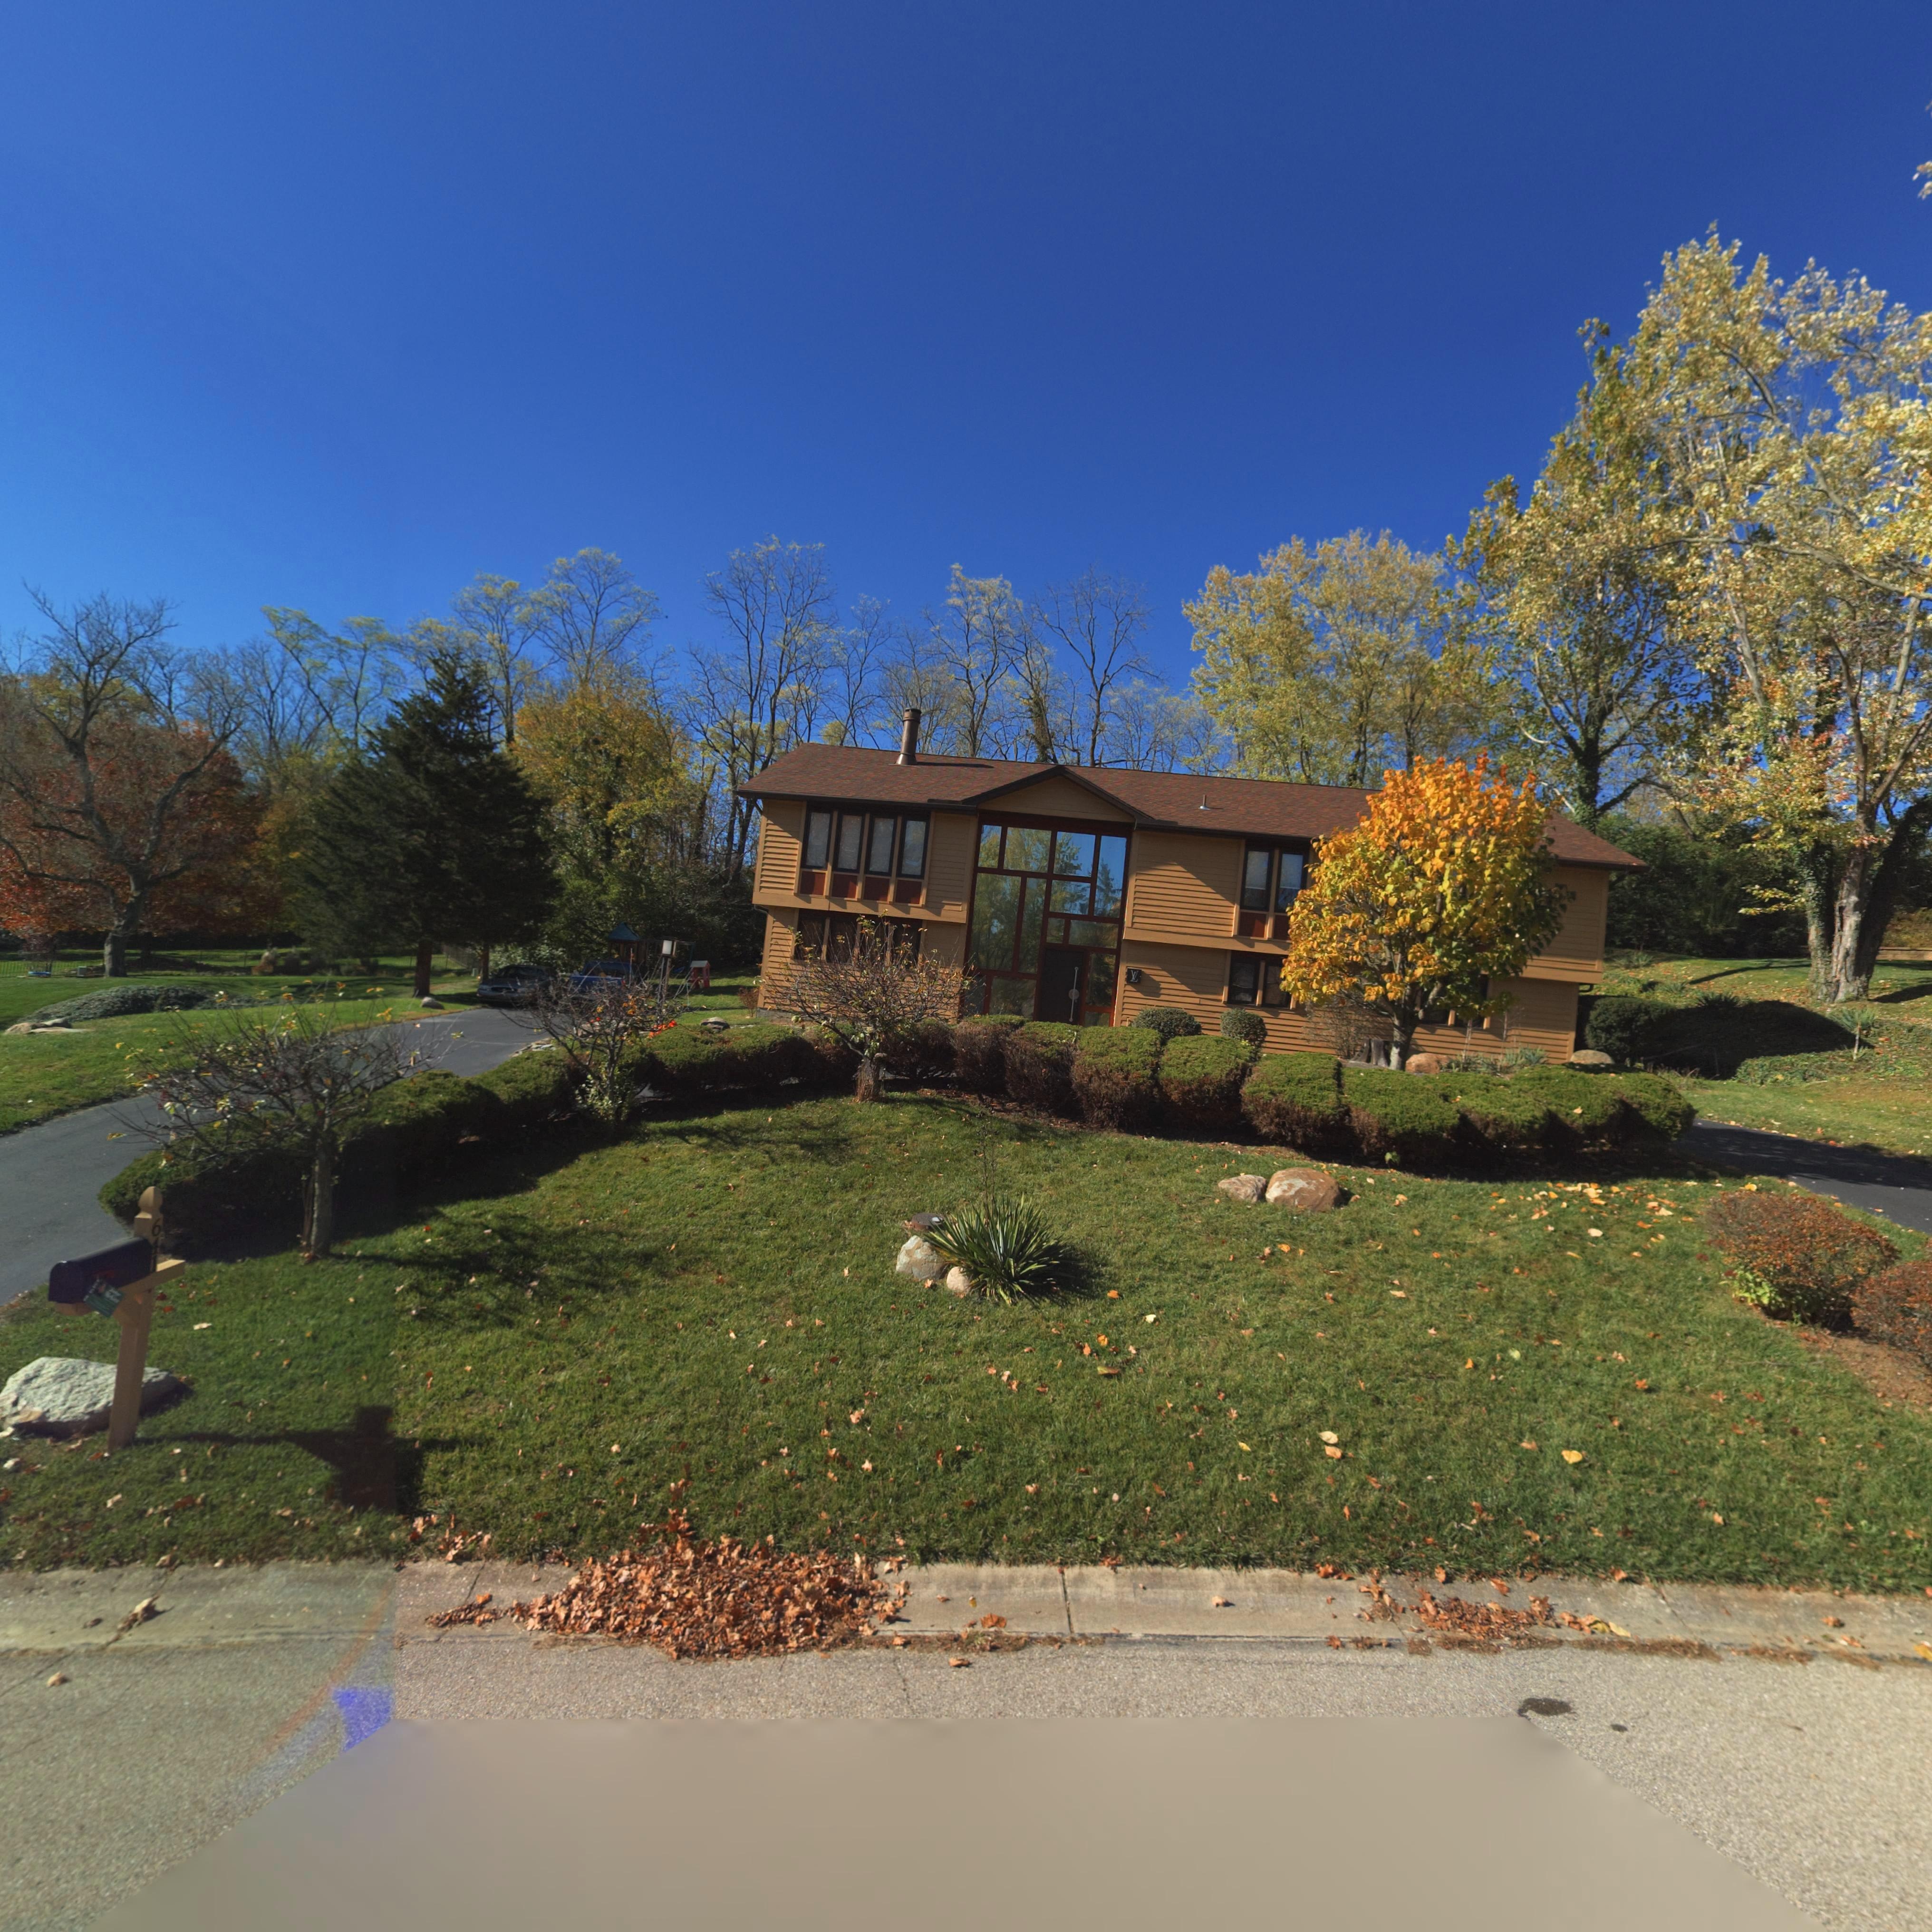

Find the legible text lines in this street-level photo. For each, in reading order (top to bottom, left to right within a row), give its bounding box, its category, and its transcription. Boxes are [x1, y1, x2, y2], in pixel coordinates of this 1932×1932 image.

[149, 1217, 162, 1273] StreetNumber: 641